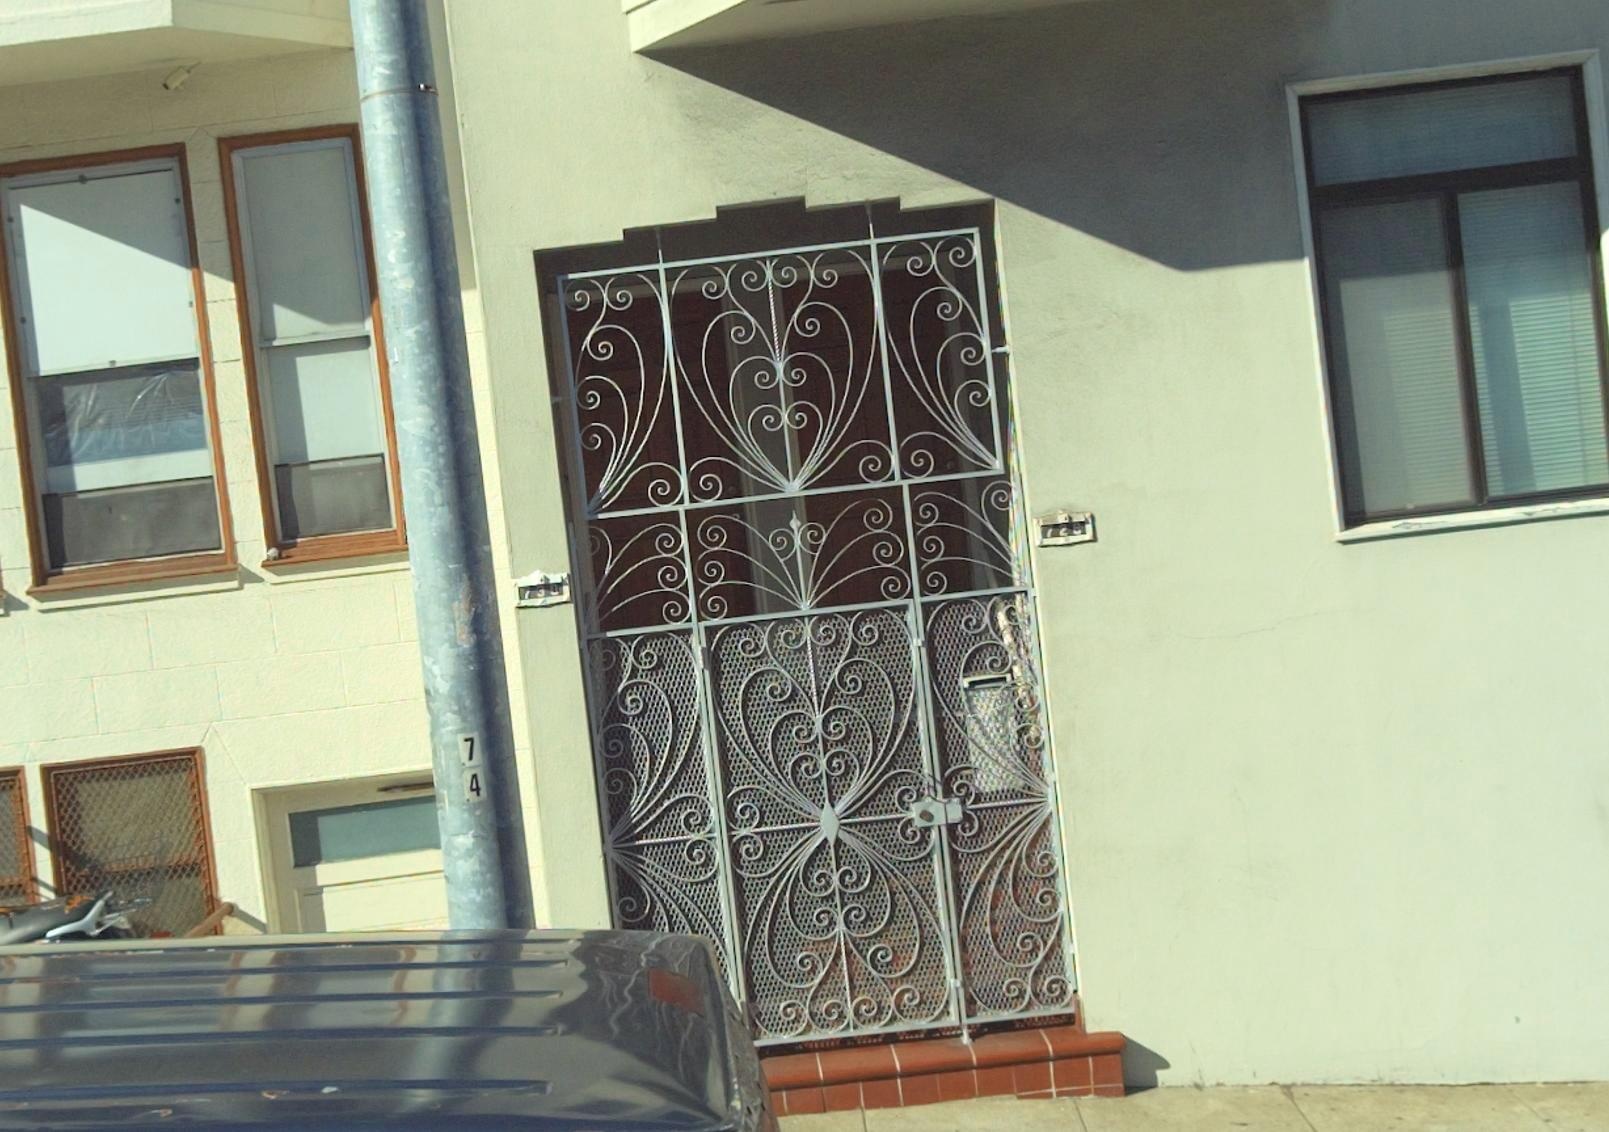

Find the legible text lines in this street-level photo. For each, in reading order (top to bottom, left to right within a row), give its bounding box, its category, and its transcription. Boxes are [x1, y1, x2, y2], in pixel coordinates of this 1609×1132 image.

[1044, 522, 1085, 540] StreetNumber: 728
[522, 582, 562, 602] StreetNumber: 730
[460, 733, 484, 802] None: 74